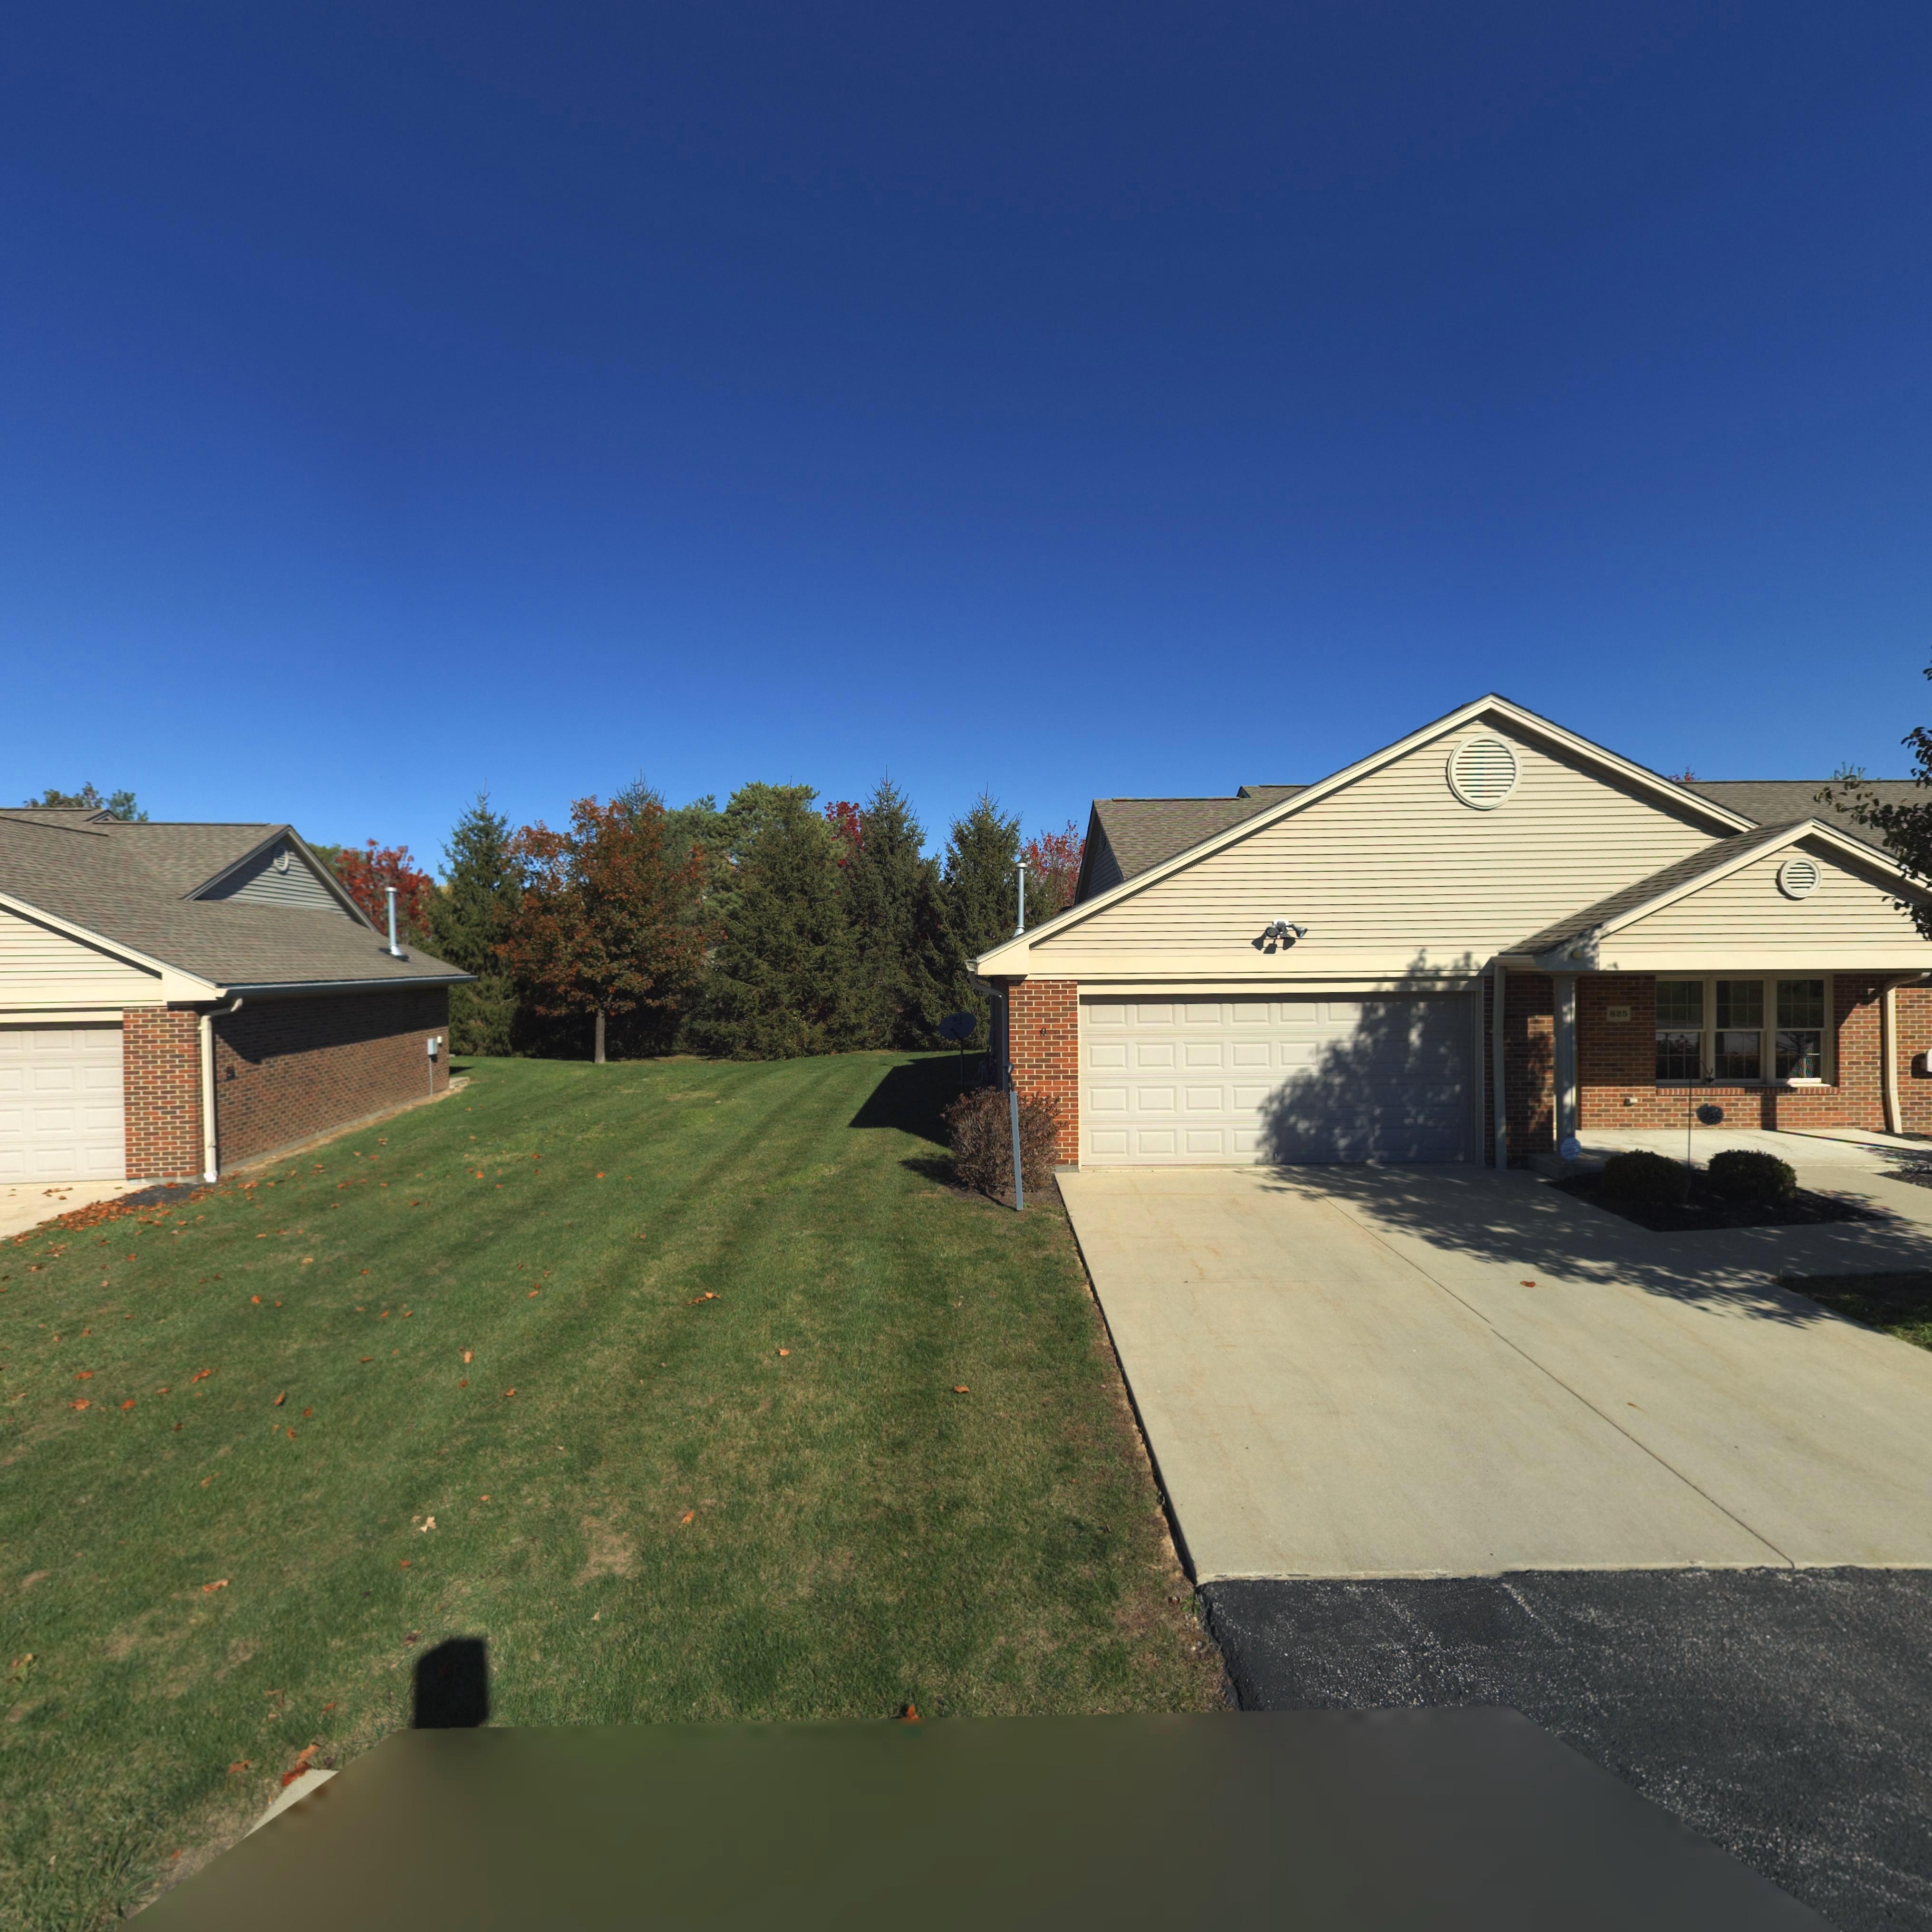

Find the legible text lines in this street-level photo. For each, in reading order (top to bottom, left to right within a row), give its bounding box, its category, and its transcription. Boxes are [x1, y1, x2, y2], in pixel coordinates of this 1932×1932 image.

[1610, 1010, 1628, 1017] StreetNumber: 825